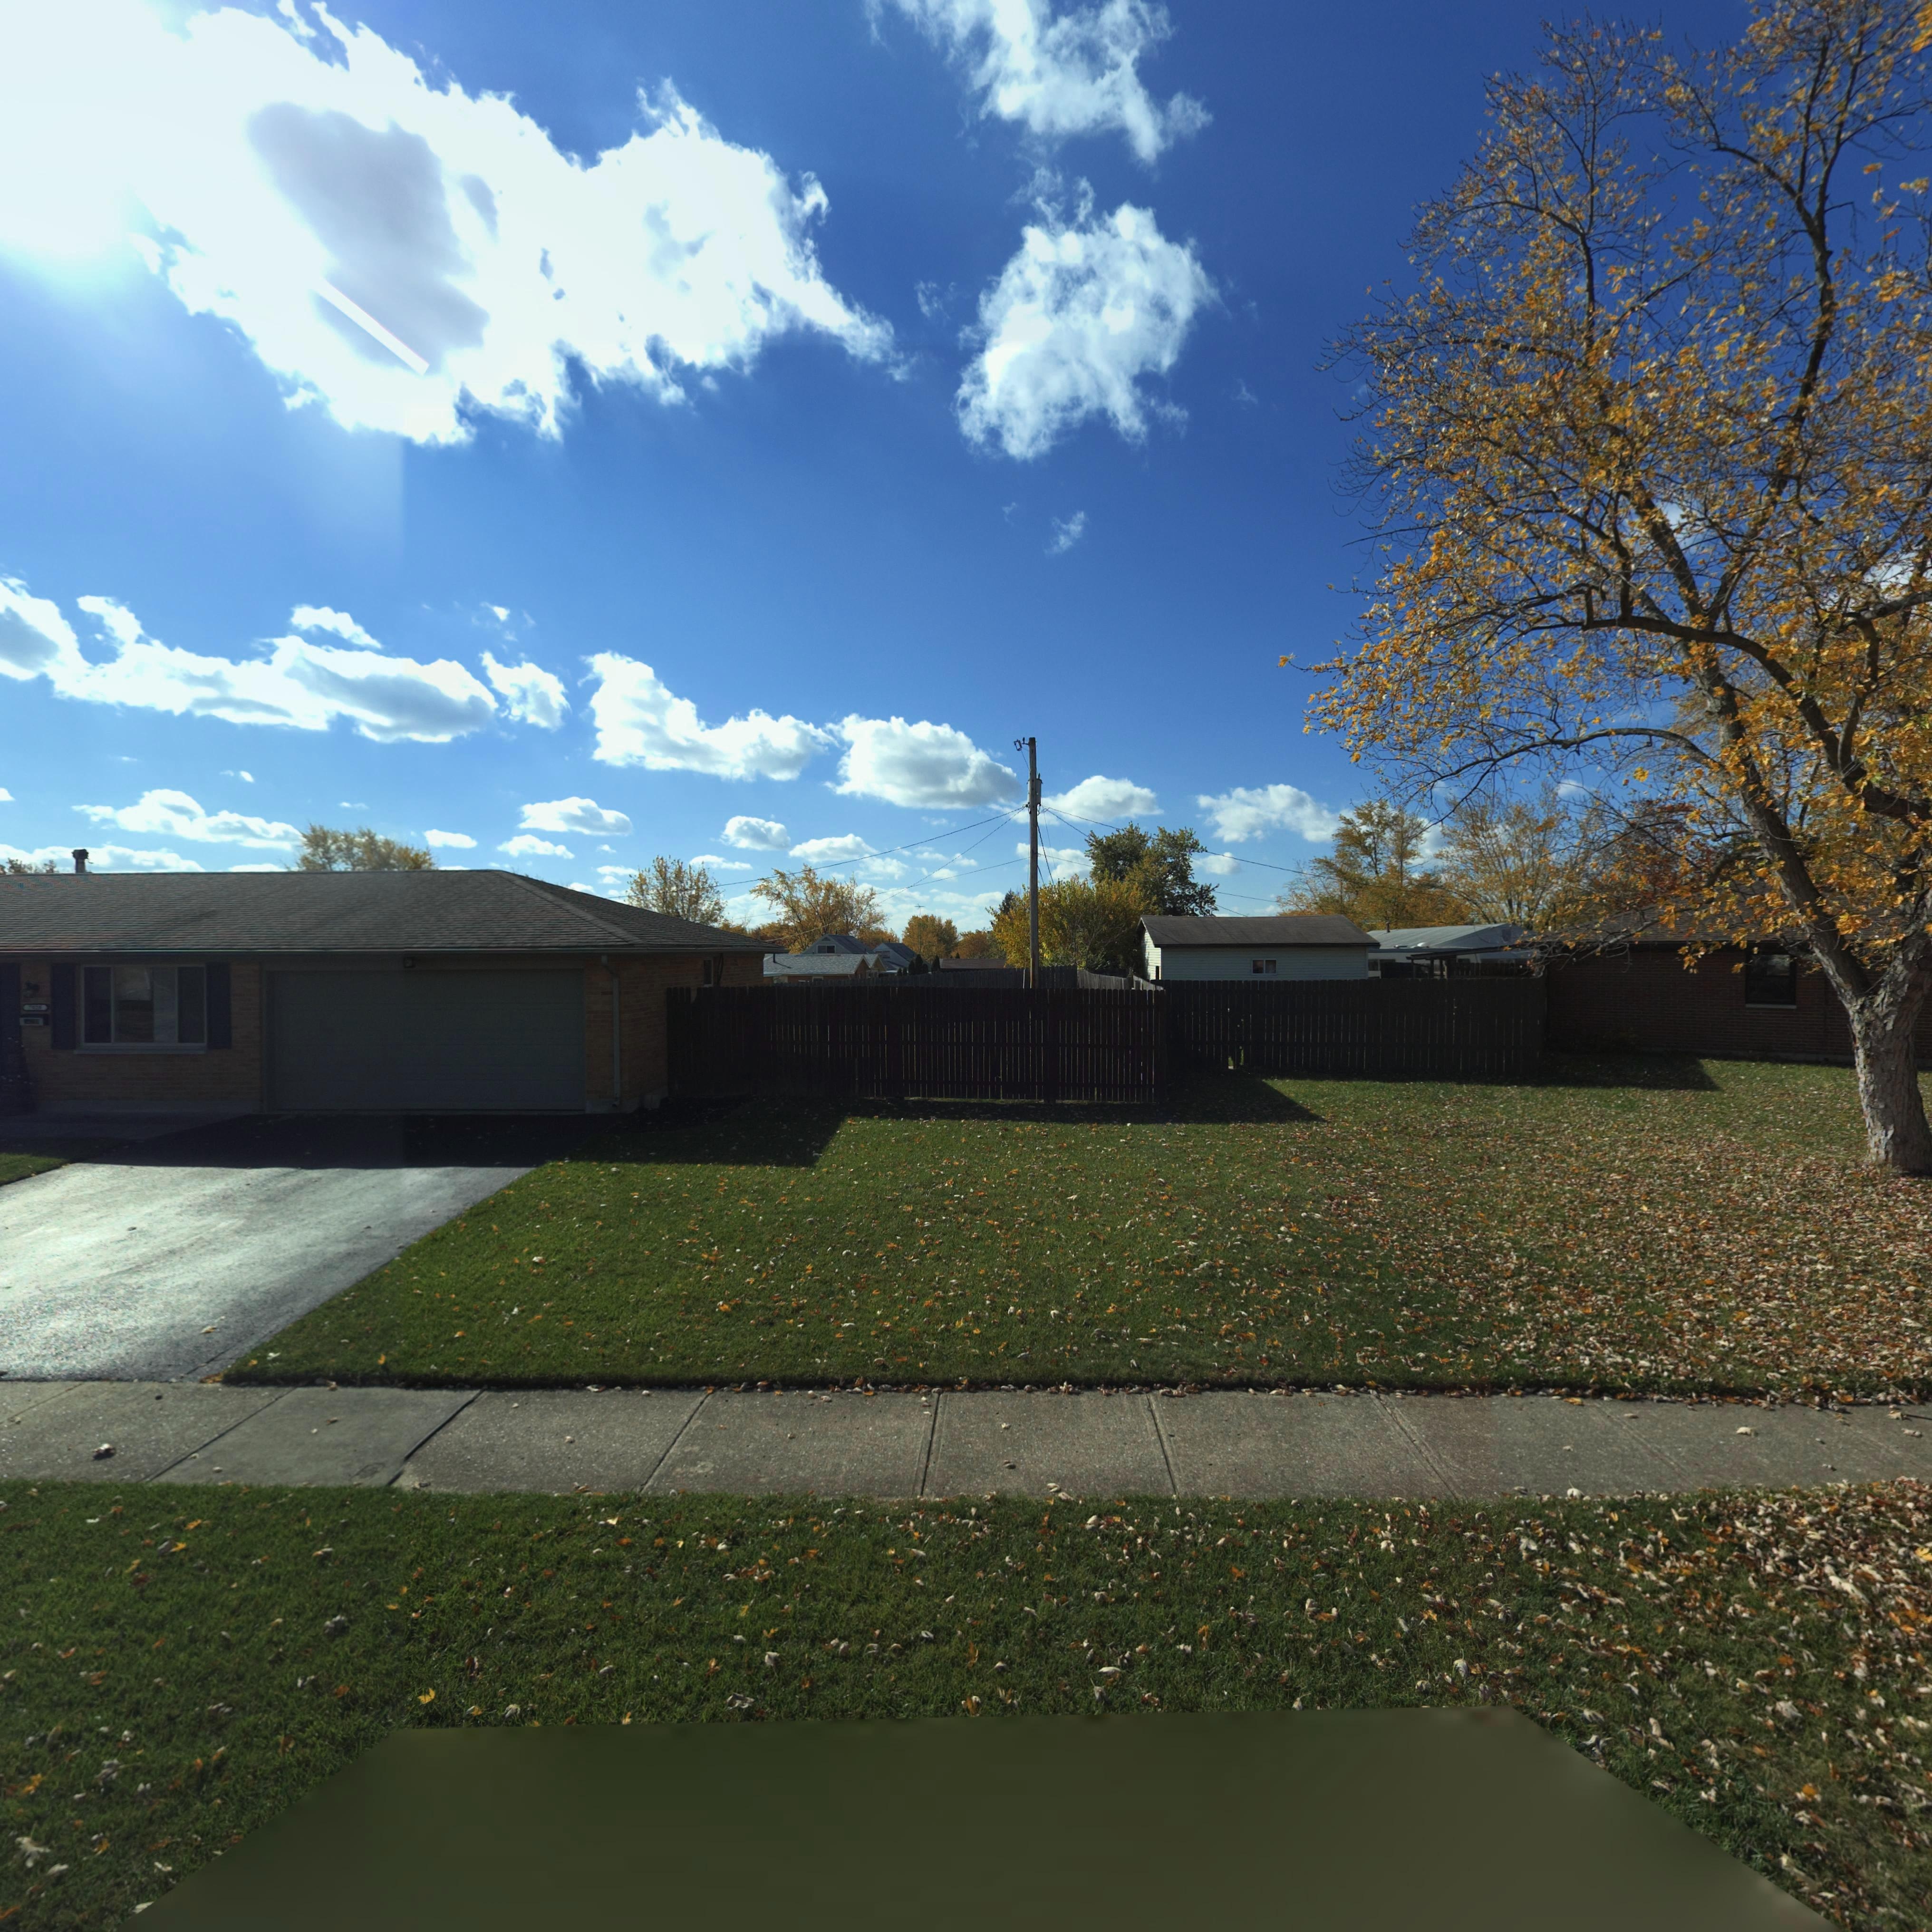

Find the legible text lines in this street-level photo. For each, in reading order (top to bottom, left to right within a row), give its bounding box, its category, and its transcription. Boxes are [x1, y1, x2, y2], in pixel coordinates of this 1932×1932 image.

[27, 1004, 42, 1010] StreetNumber: 7*2*